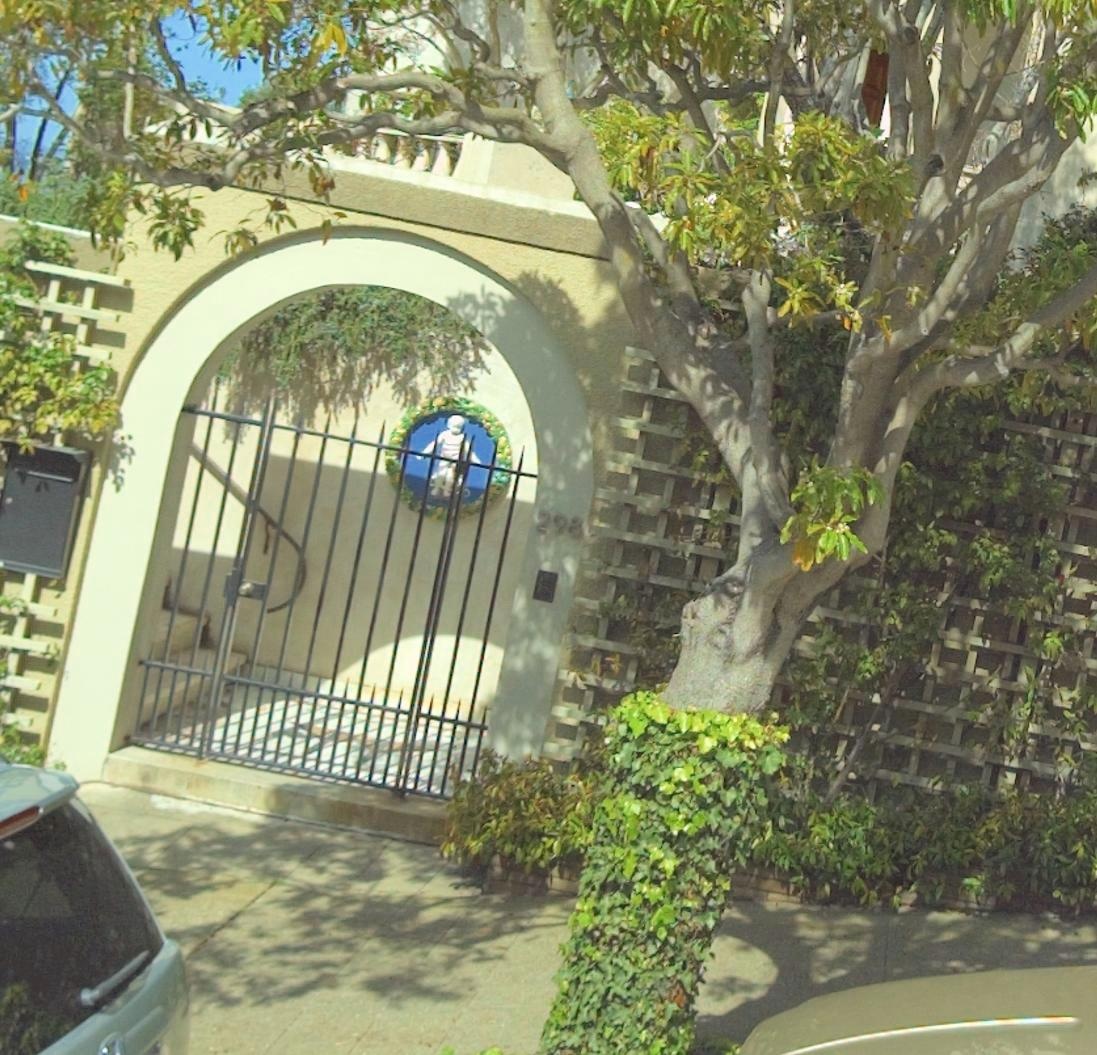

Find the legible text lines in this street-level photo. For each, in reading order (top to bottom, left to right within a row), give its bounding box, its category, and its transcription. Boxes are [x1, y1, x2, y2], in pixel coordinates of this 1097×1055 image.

[533, 509, 585, 539] StreetNumber: 298